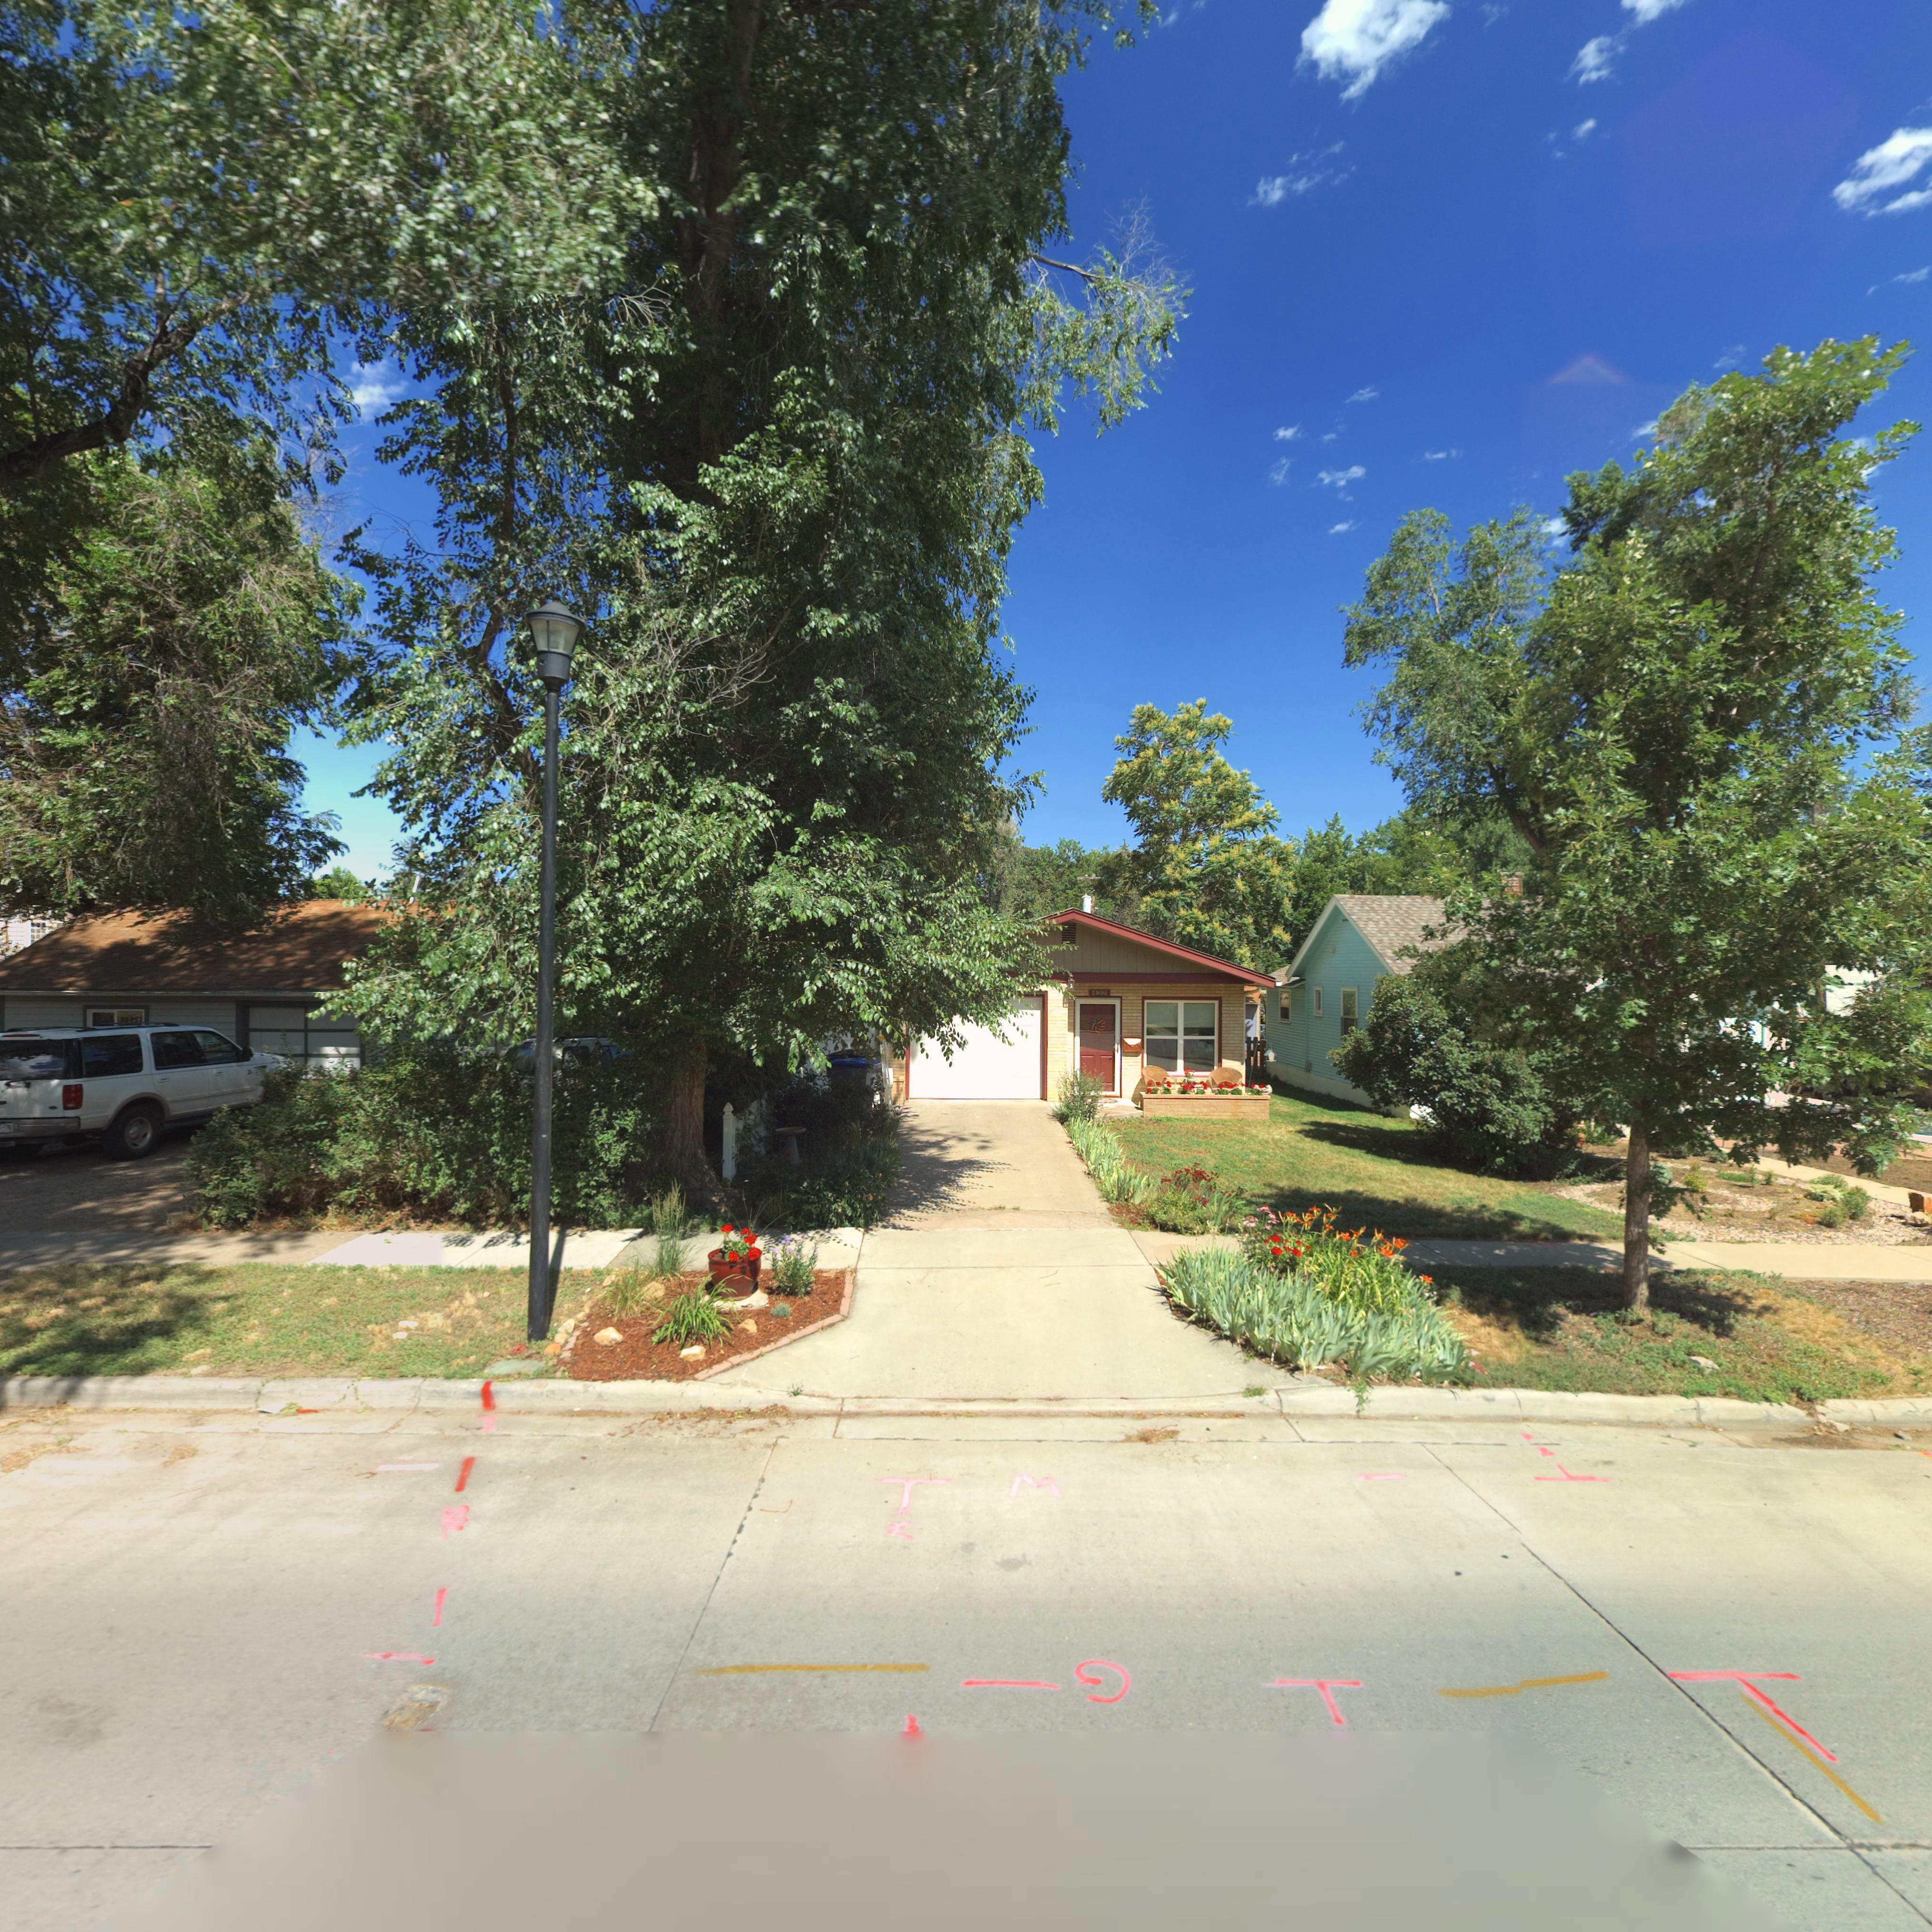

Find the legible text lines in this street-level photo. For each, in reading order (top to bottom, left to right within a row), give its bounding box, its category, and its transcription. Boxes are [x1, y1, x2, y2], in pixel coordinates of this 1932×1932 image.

[1092, 990, 1106, 995] StreetNumber: 432